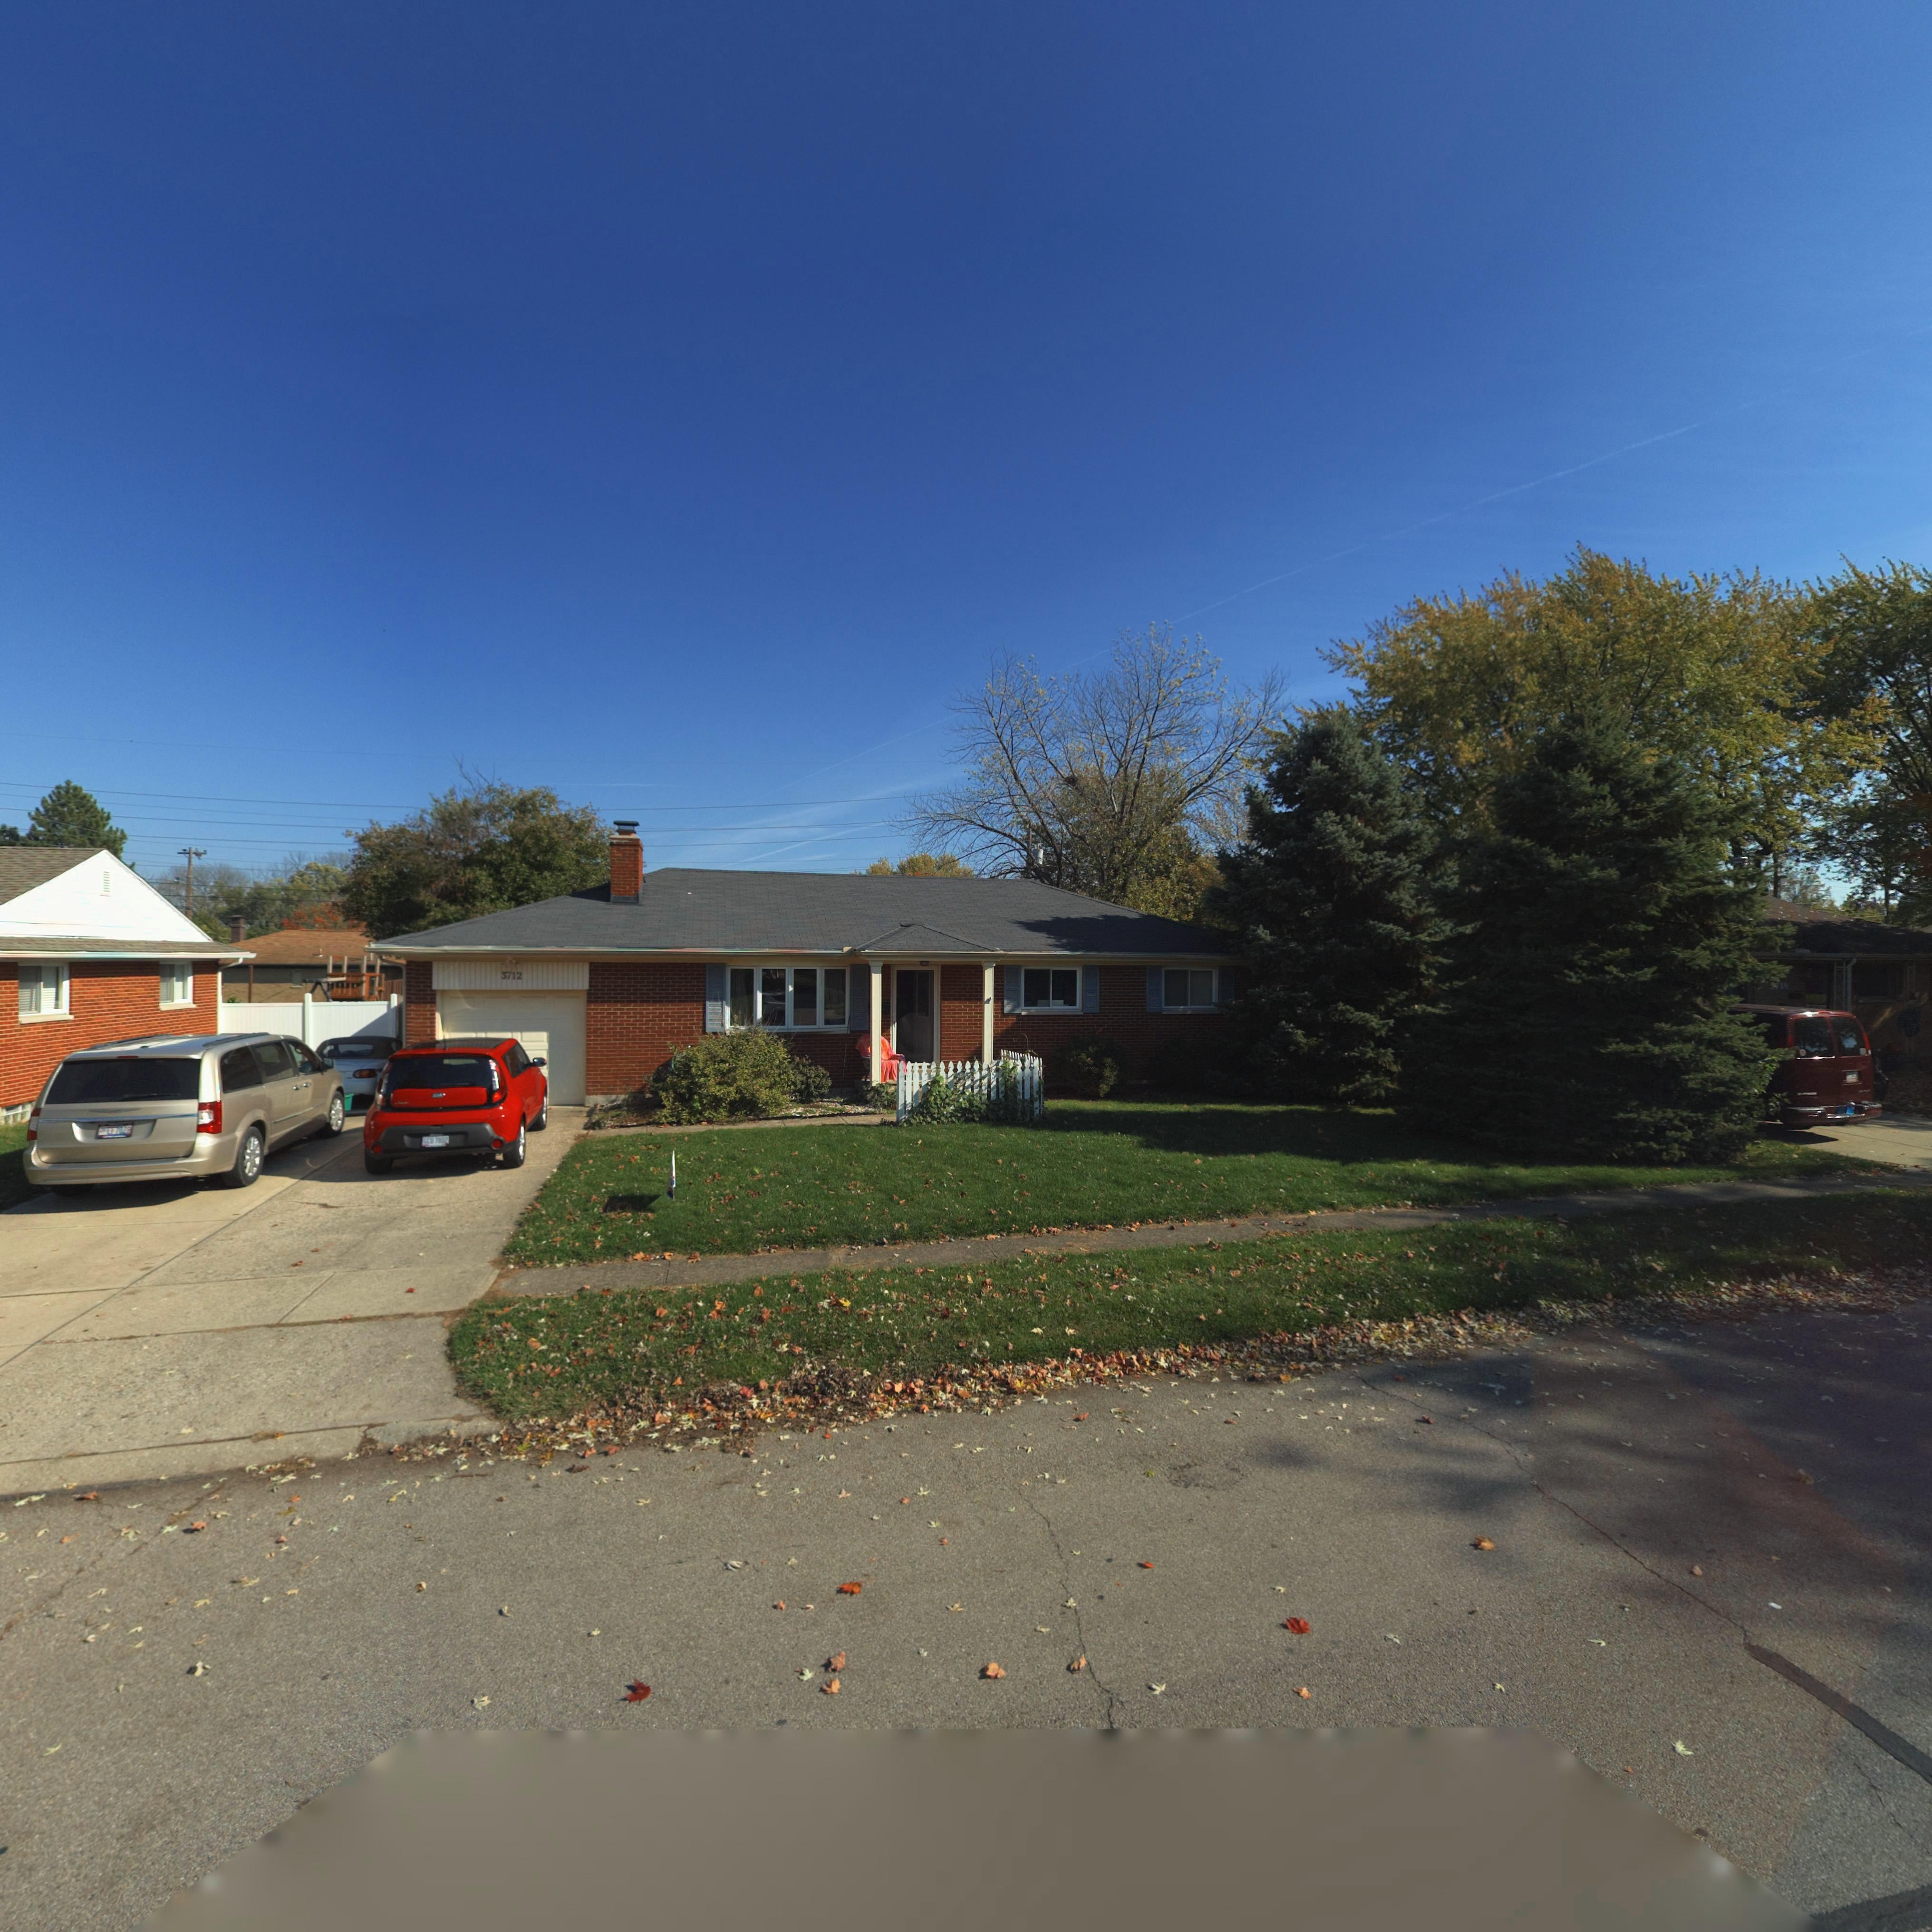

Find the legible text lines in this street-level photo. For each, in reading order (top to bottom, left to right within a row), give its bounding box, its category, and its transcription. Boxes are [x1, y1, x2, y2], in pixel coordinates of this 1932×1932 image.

[500, 970, 524, 981] StreetNumber: 3712